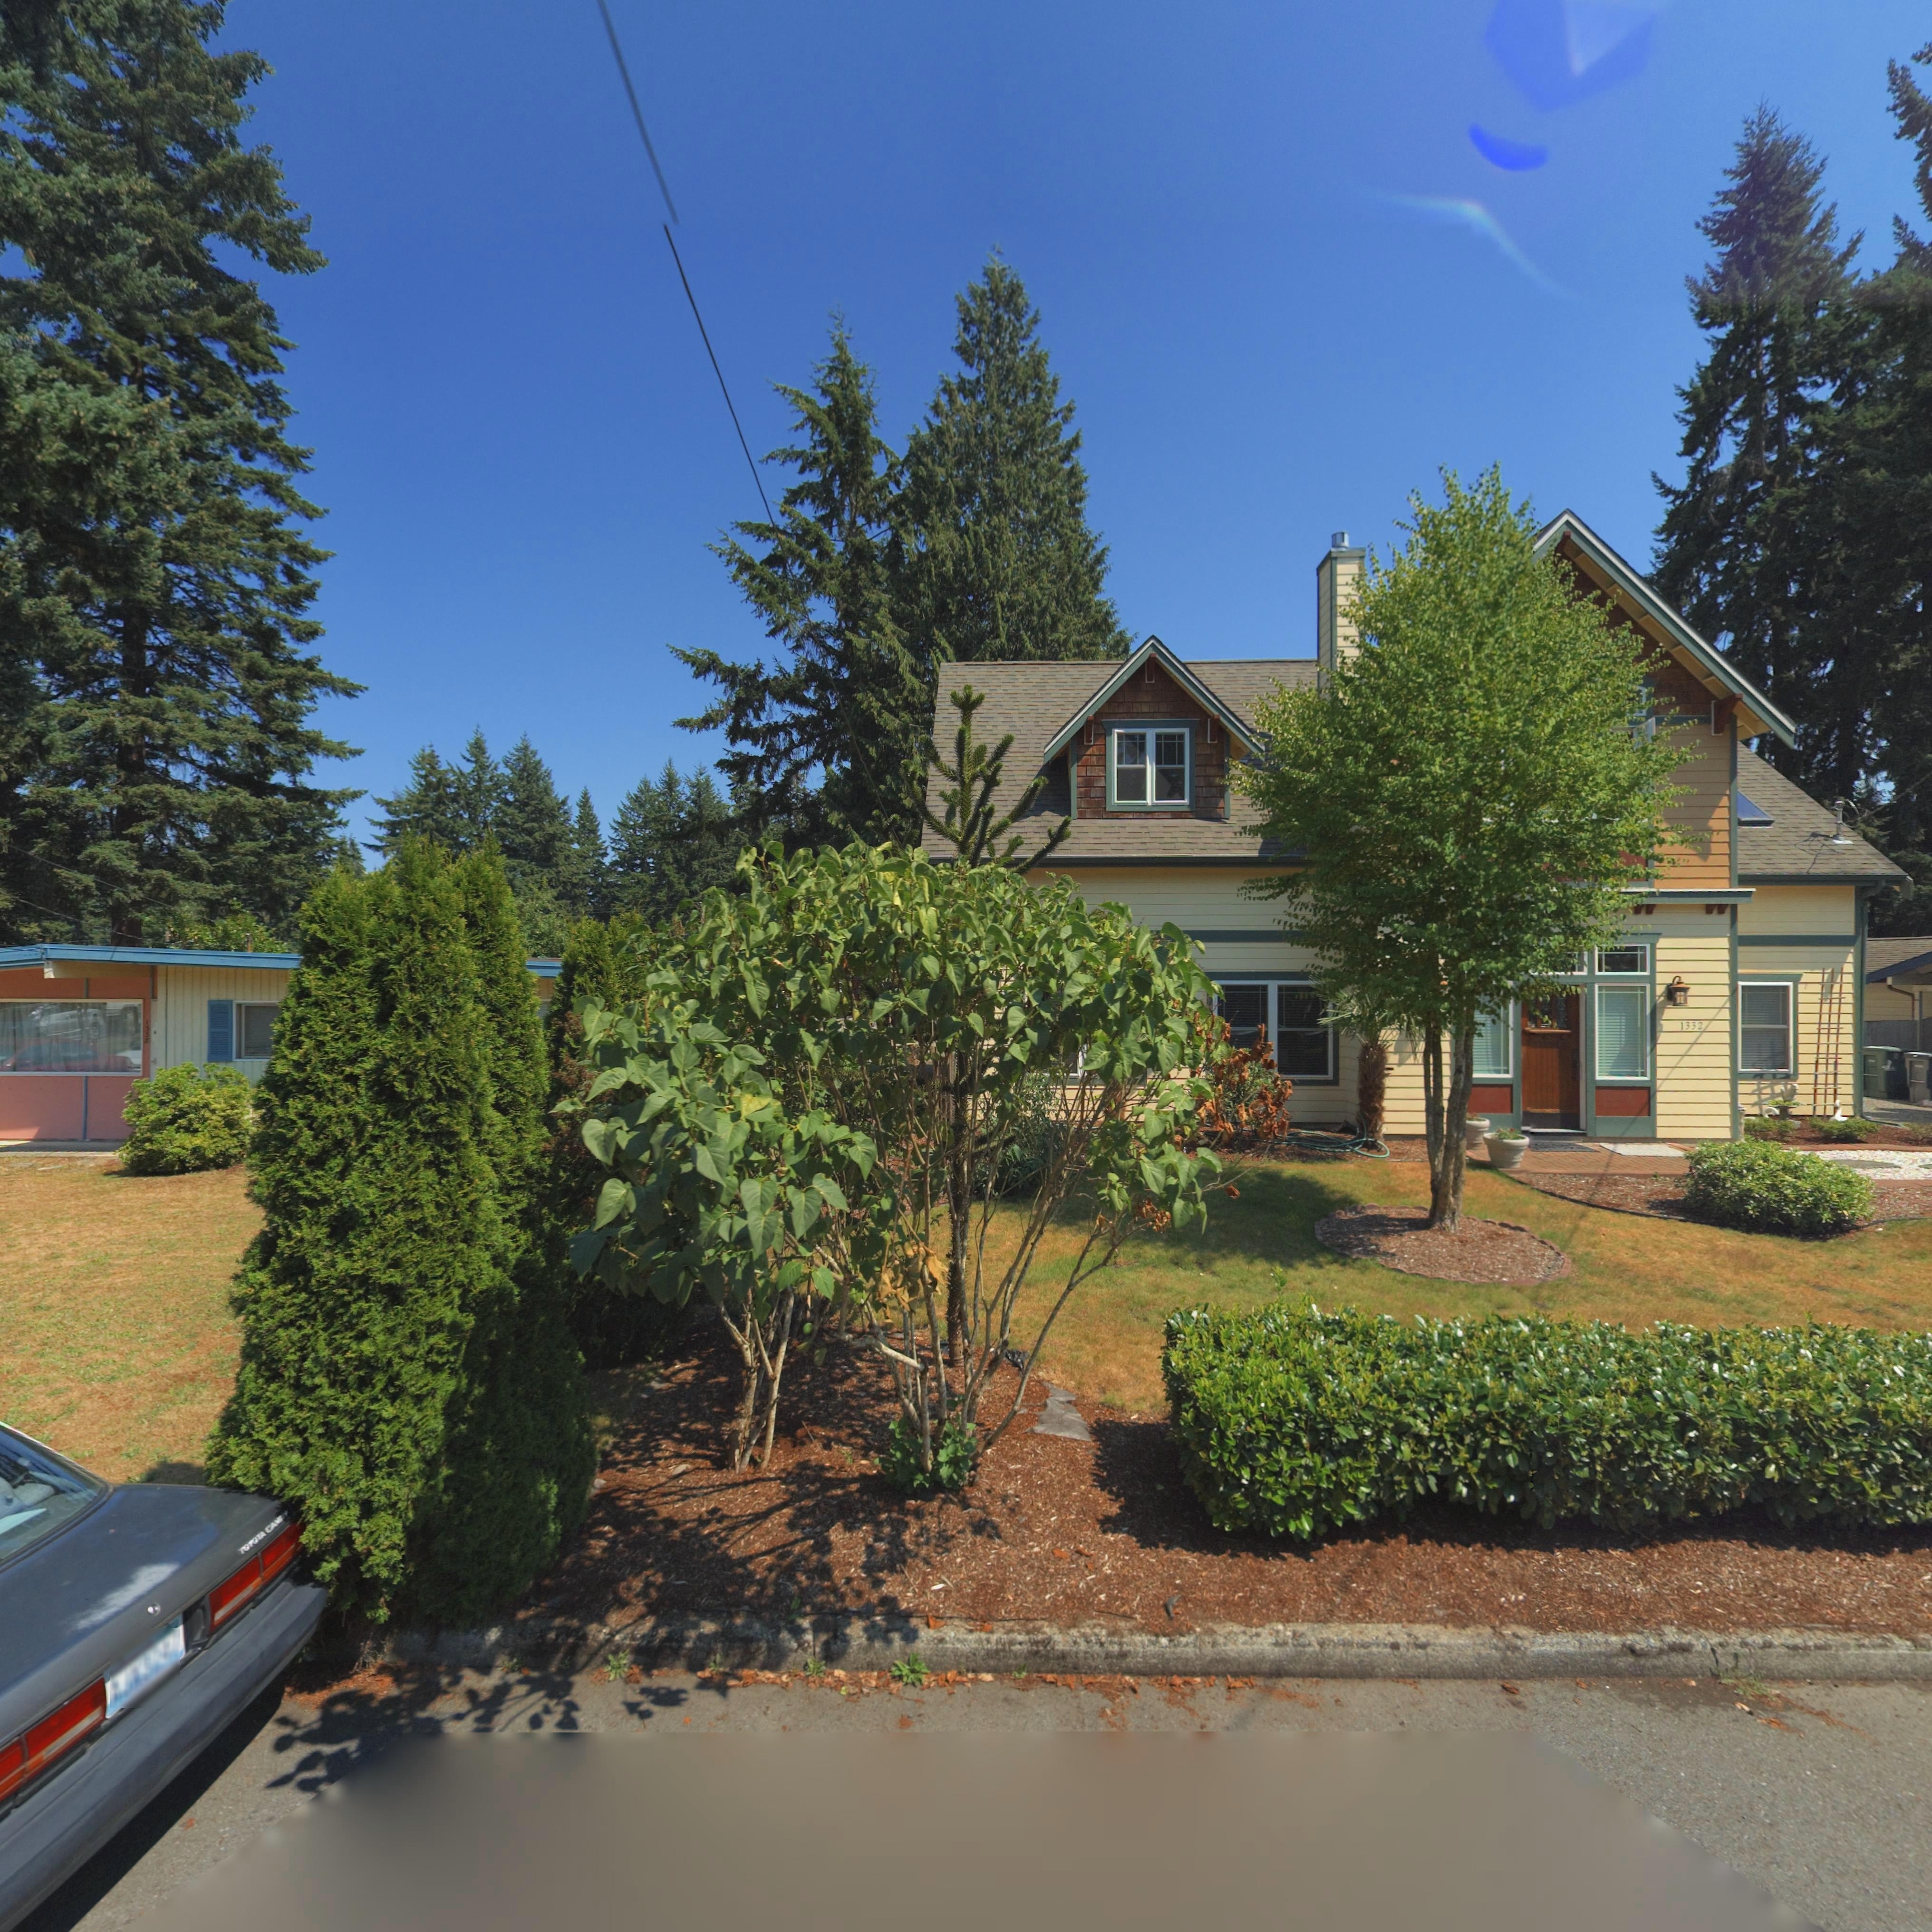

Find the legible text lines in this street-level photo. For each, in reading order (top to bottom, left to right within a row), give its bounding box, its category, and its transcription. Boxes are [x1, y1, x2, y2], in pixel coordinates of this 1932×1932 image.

[1680, 1019, 1703, 1031] StreetNumber: 1332